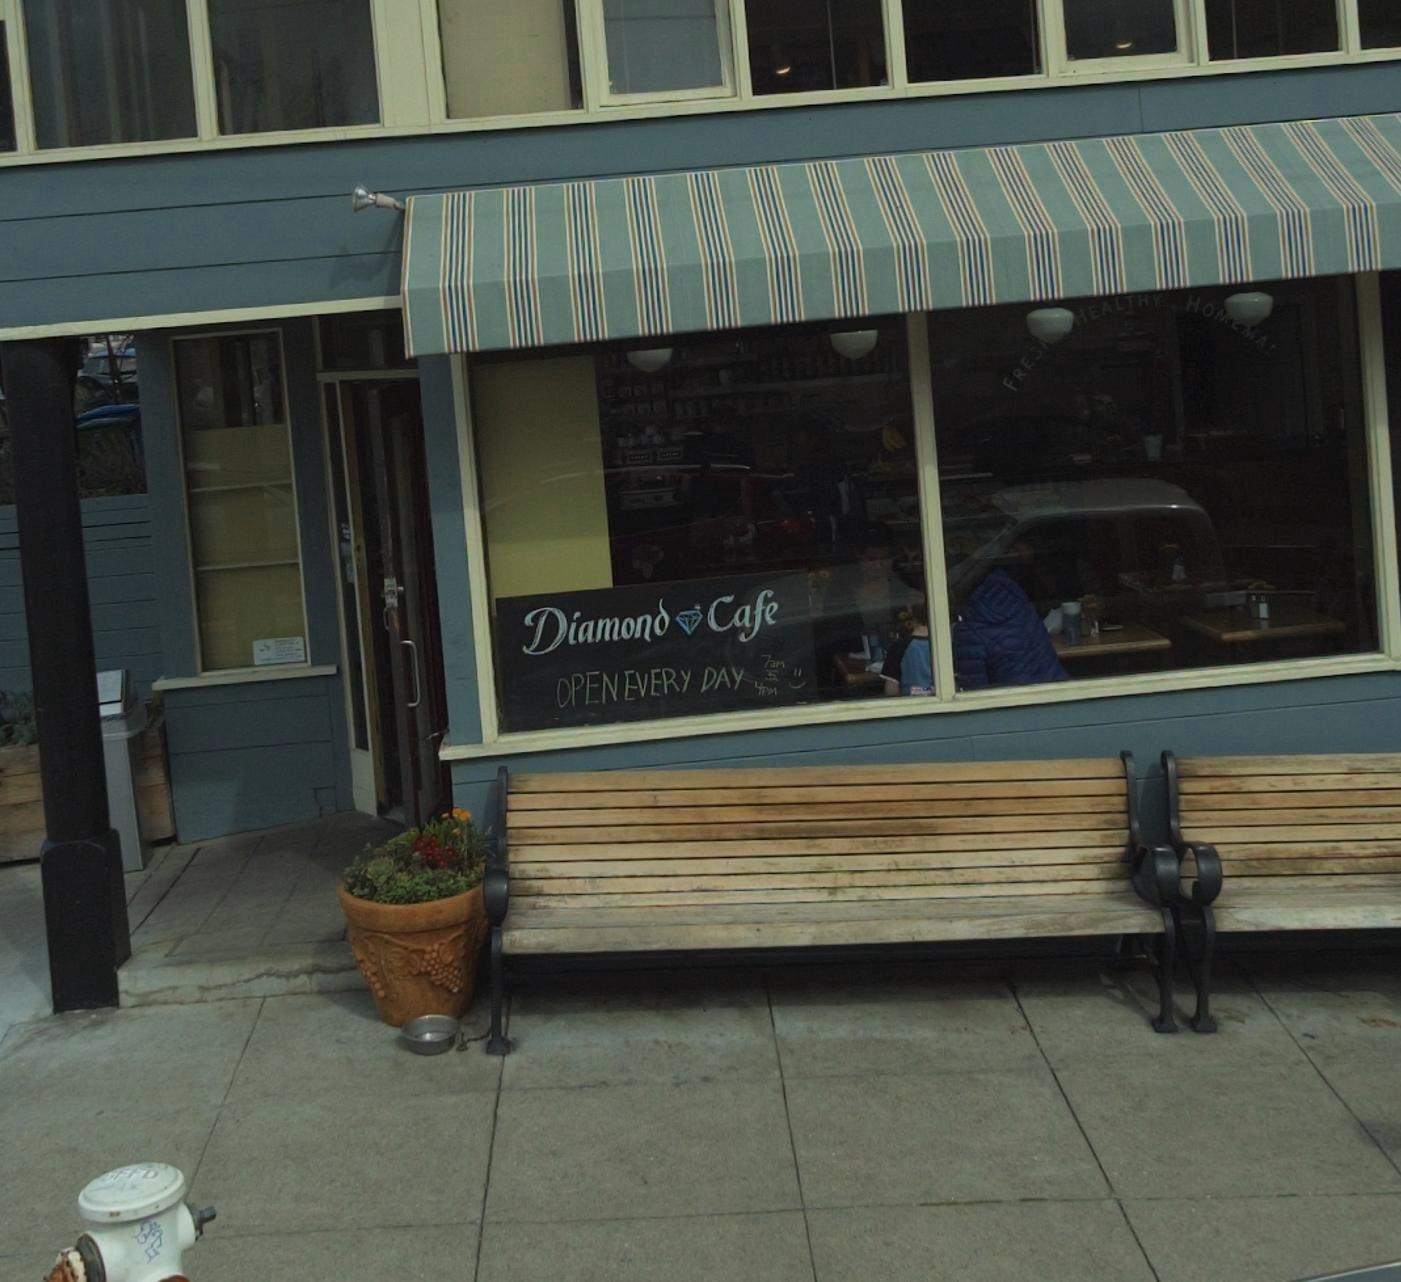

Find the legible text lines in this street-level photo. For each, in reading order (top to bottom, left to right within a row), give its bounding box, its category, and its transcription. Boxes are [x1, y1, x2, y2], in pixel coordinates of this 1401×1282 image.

[520, 587, 782, 657] BusinessName: Diamond Cafe
[760, 654, 786, 670] None: 7am
[554, 665, 748, 711] None: OPEN EVERY DAY
[754, 680, 780, 697] None: 4pm